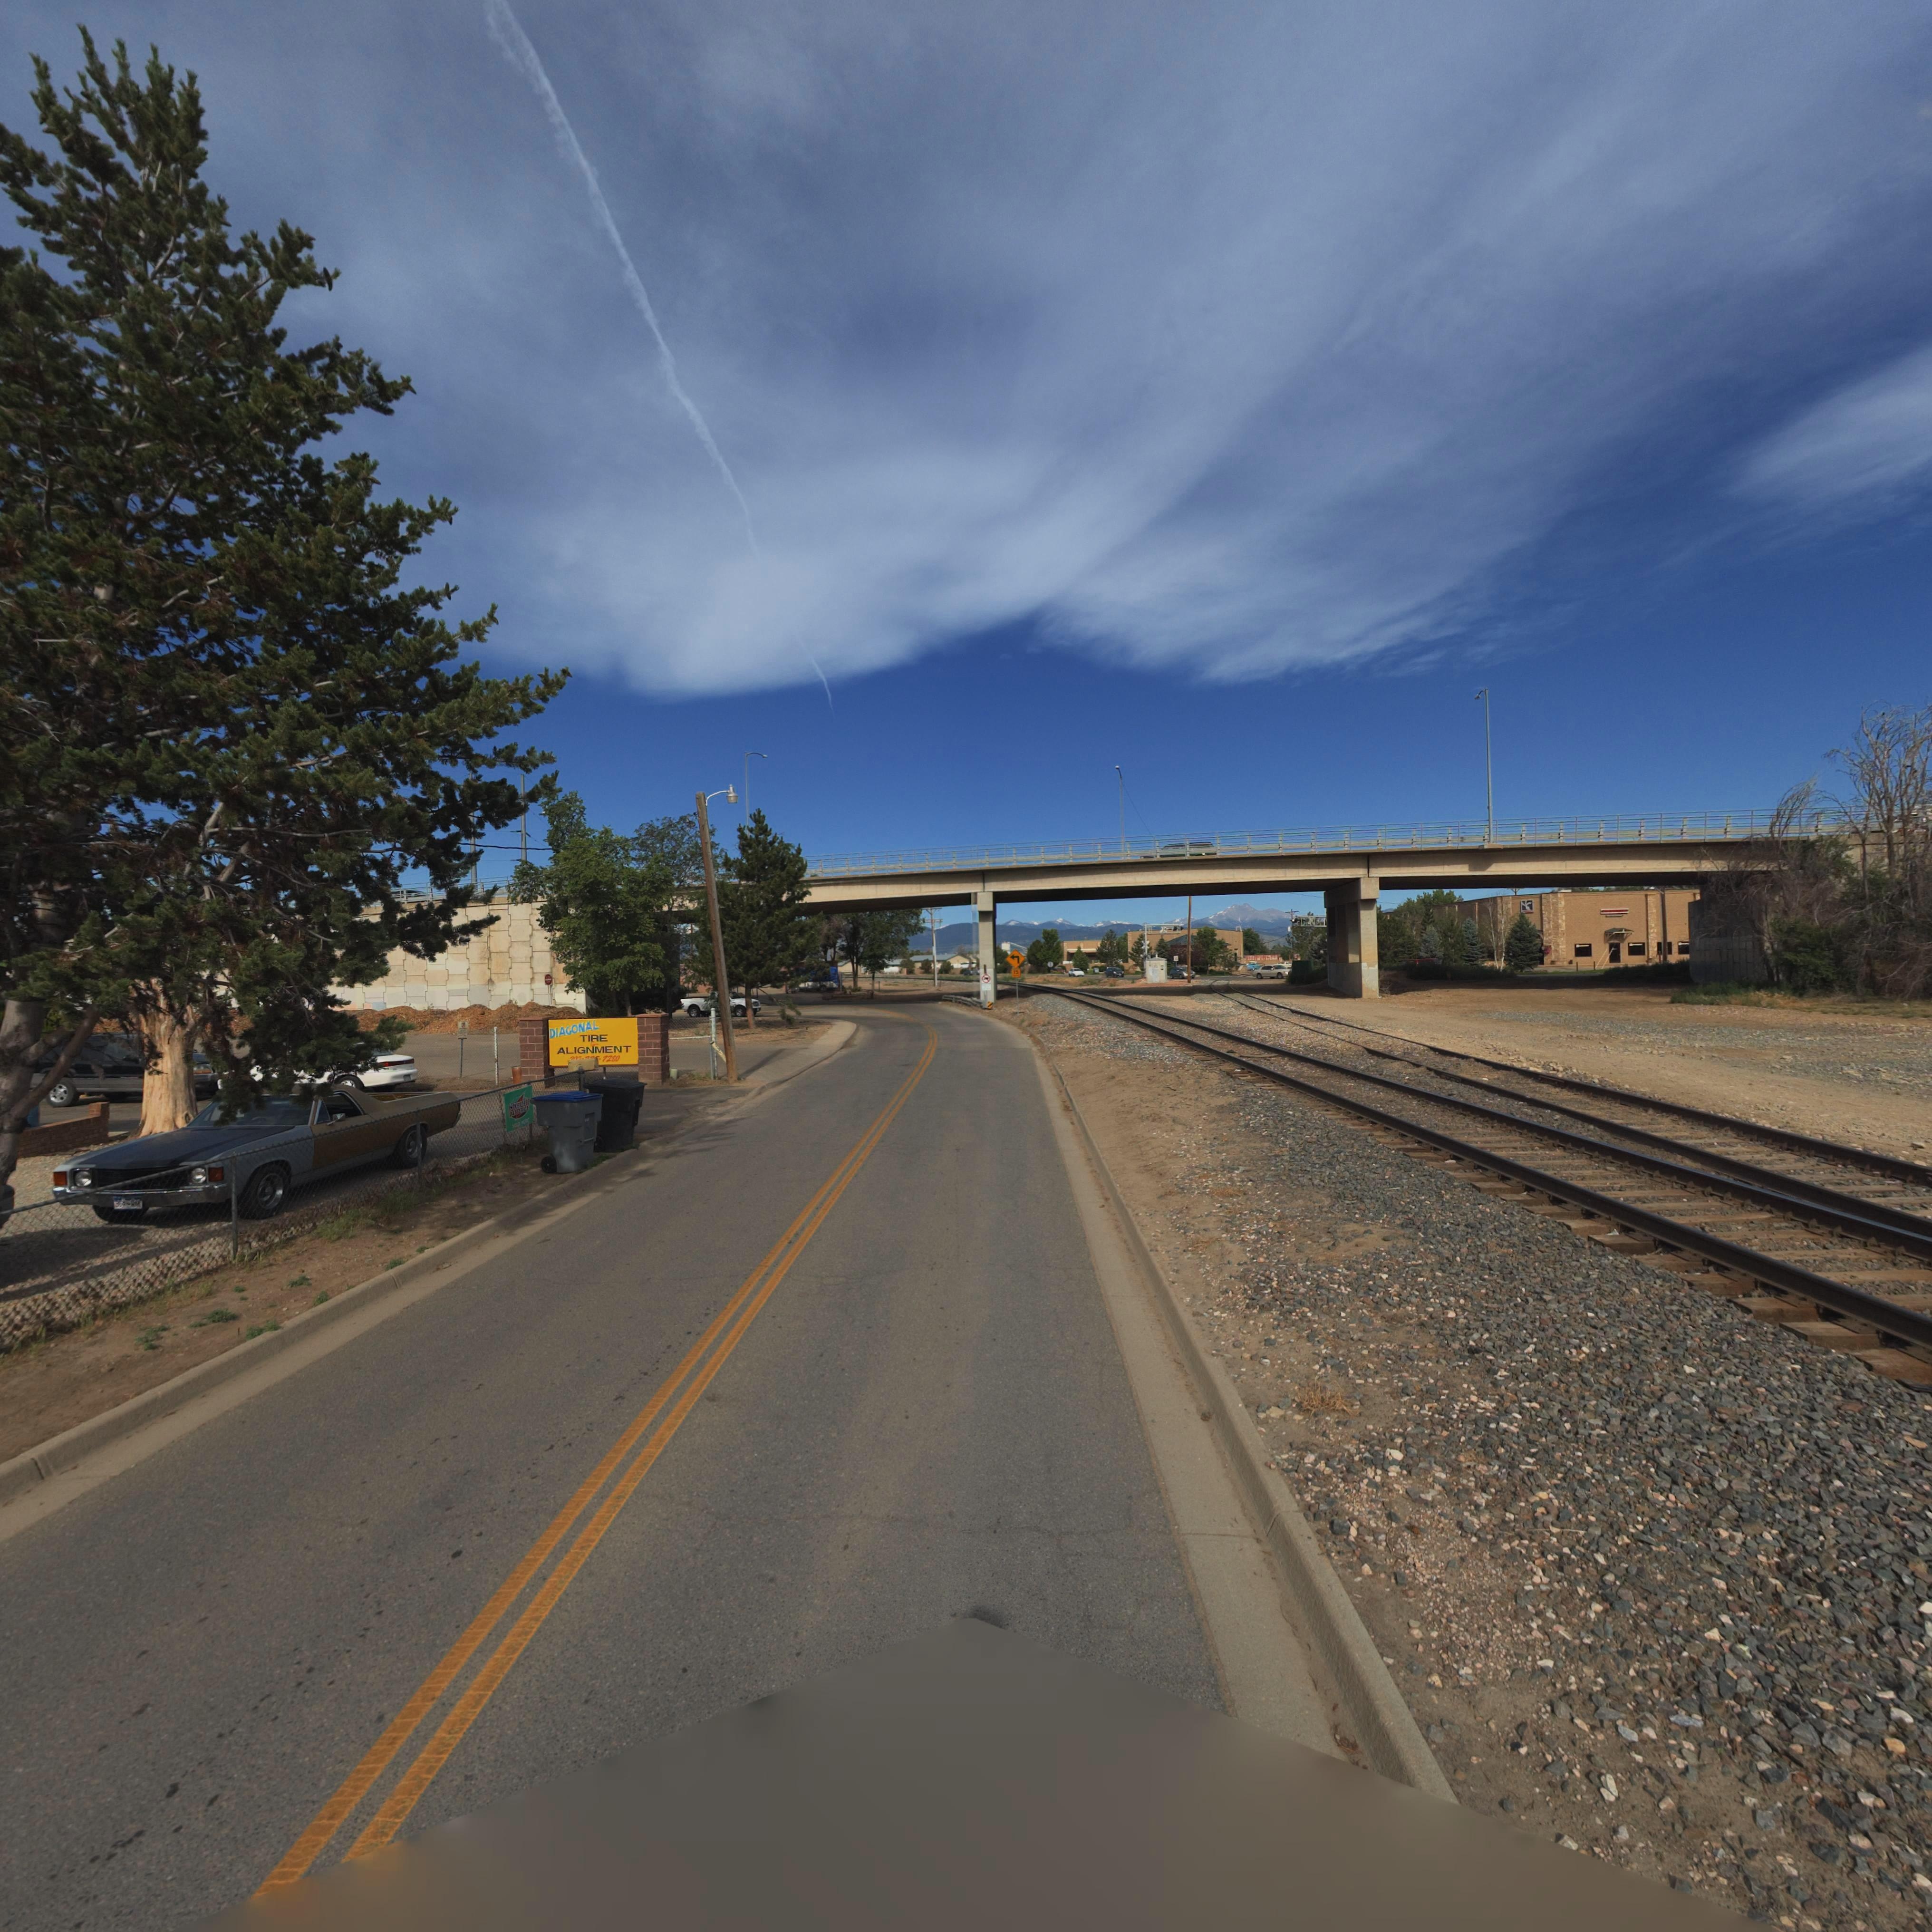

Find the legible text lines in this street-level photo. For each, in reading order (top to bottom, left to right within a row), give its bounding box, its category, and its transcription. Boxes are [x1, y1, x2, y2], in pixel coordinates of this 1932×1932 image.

[549, 1019, 600, 1040] BusinessName: DIAGONAL
[579, 1034, 609, 1042] BusinessName: TIRE
[556, 1045, 632, 1054] BusinessName: ALIGNMENT